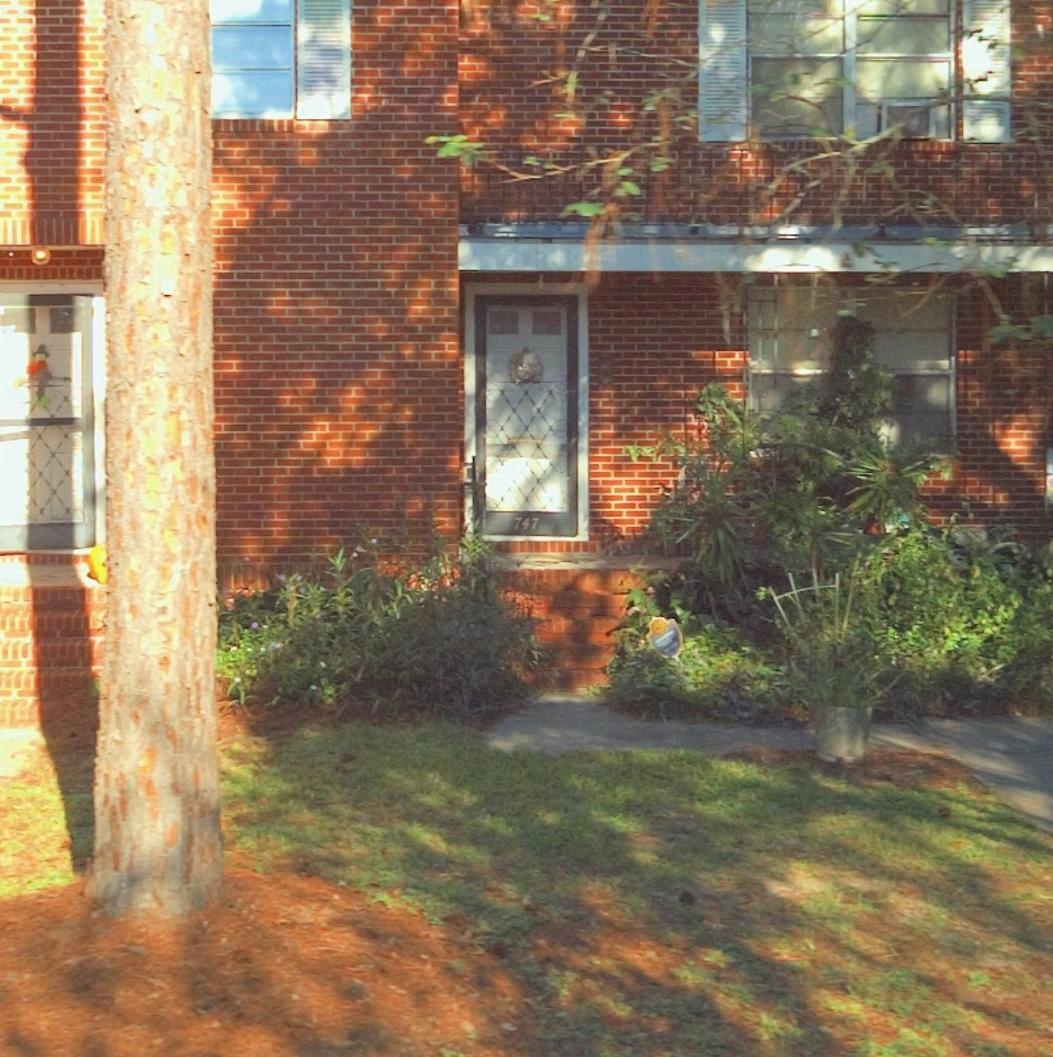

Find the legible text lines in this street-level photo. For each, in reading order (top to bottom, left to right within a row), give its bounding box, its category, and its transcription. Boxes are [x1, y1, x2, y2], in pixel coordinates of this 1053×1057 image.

[512, 515, 541, 532] StreetNumber: 747